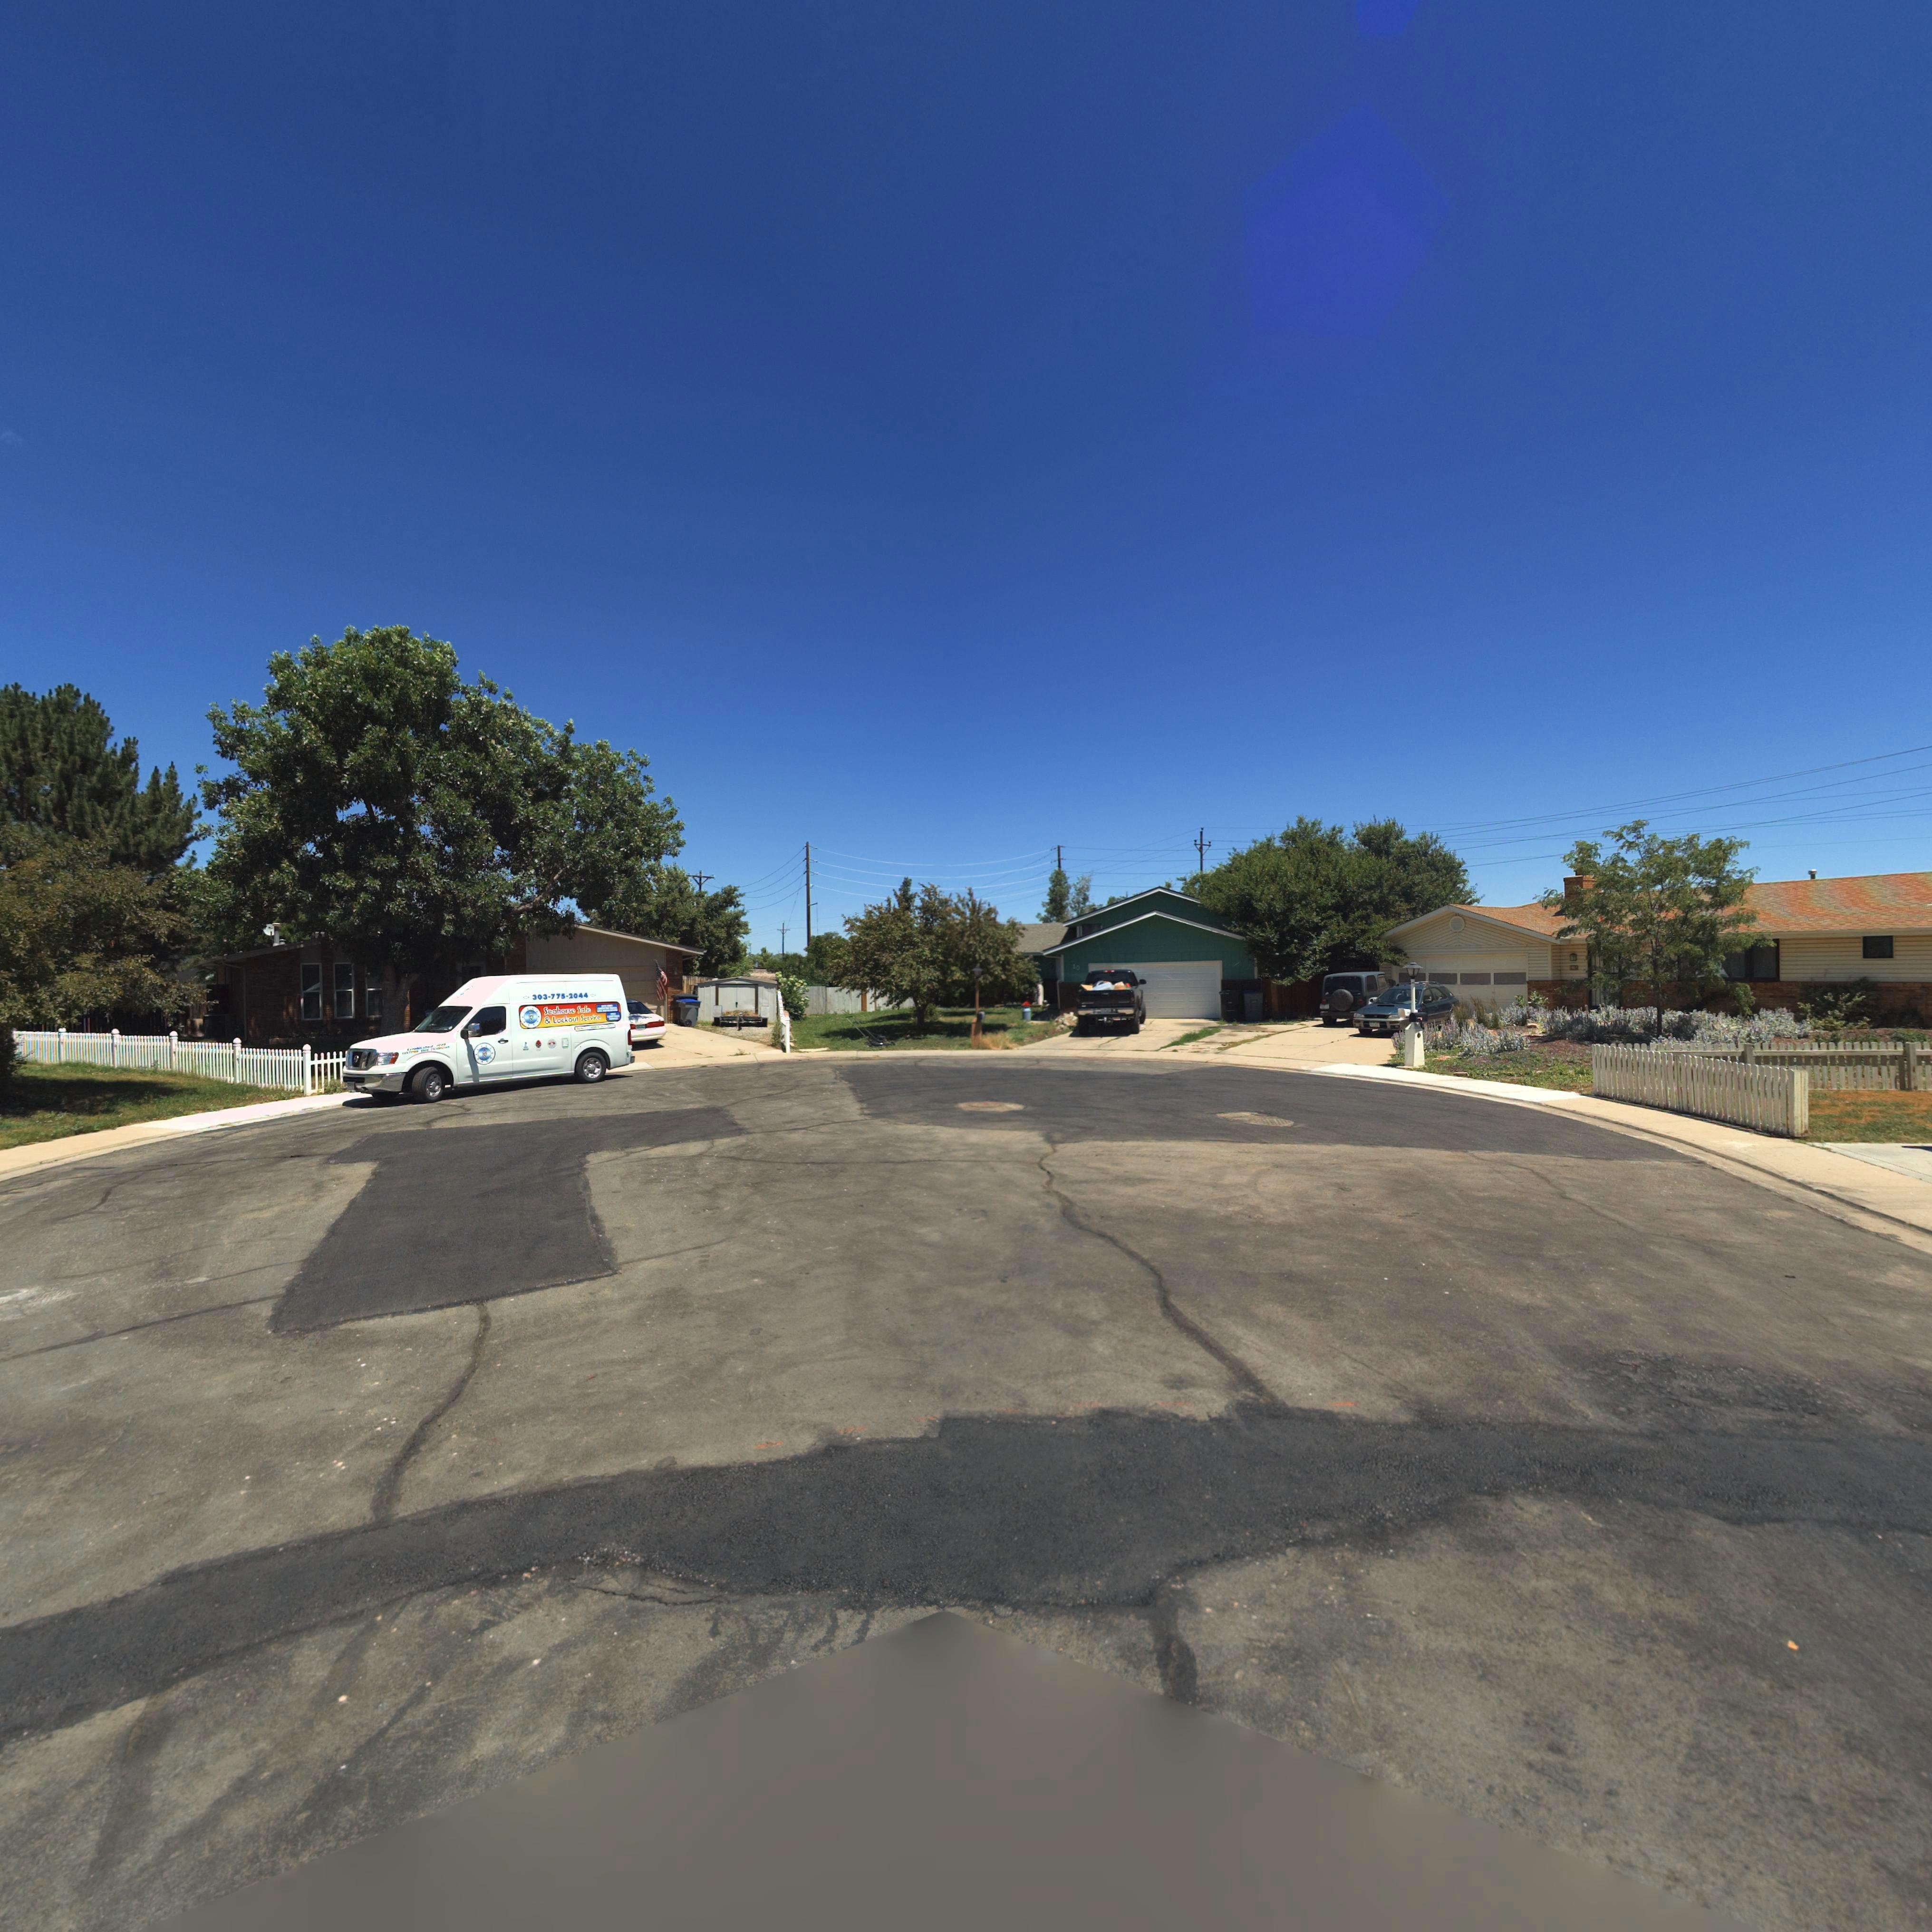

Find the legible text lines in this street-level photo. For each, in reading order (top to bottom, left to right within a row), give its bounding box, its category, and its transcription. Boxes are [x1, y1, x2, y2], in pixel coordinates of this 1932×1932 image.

[1072, 963, 1081, 971] StreetNumber: 10